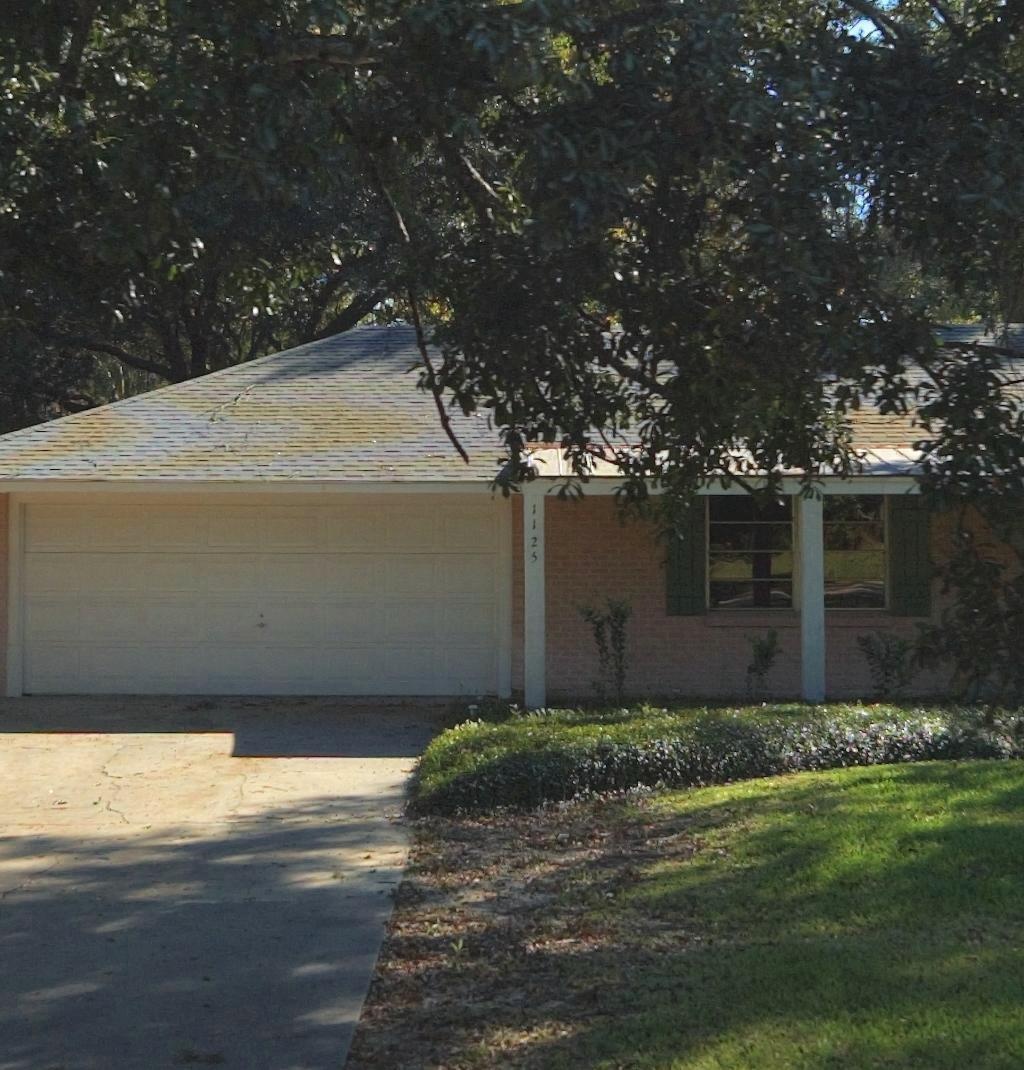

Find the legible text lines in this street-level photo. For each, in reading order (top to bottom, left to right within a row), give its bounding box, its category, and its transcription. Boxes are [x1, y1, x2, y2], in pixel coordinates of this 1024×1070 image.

[529, 501, 539, 565] StreetNumber: 1125